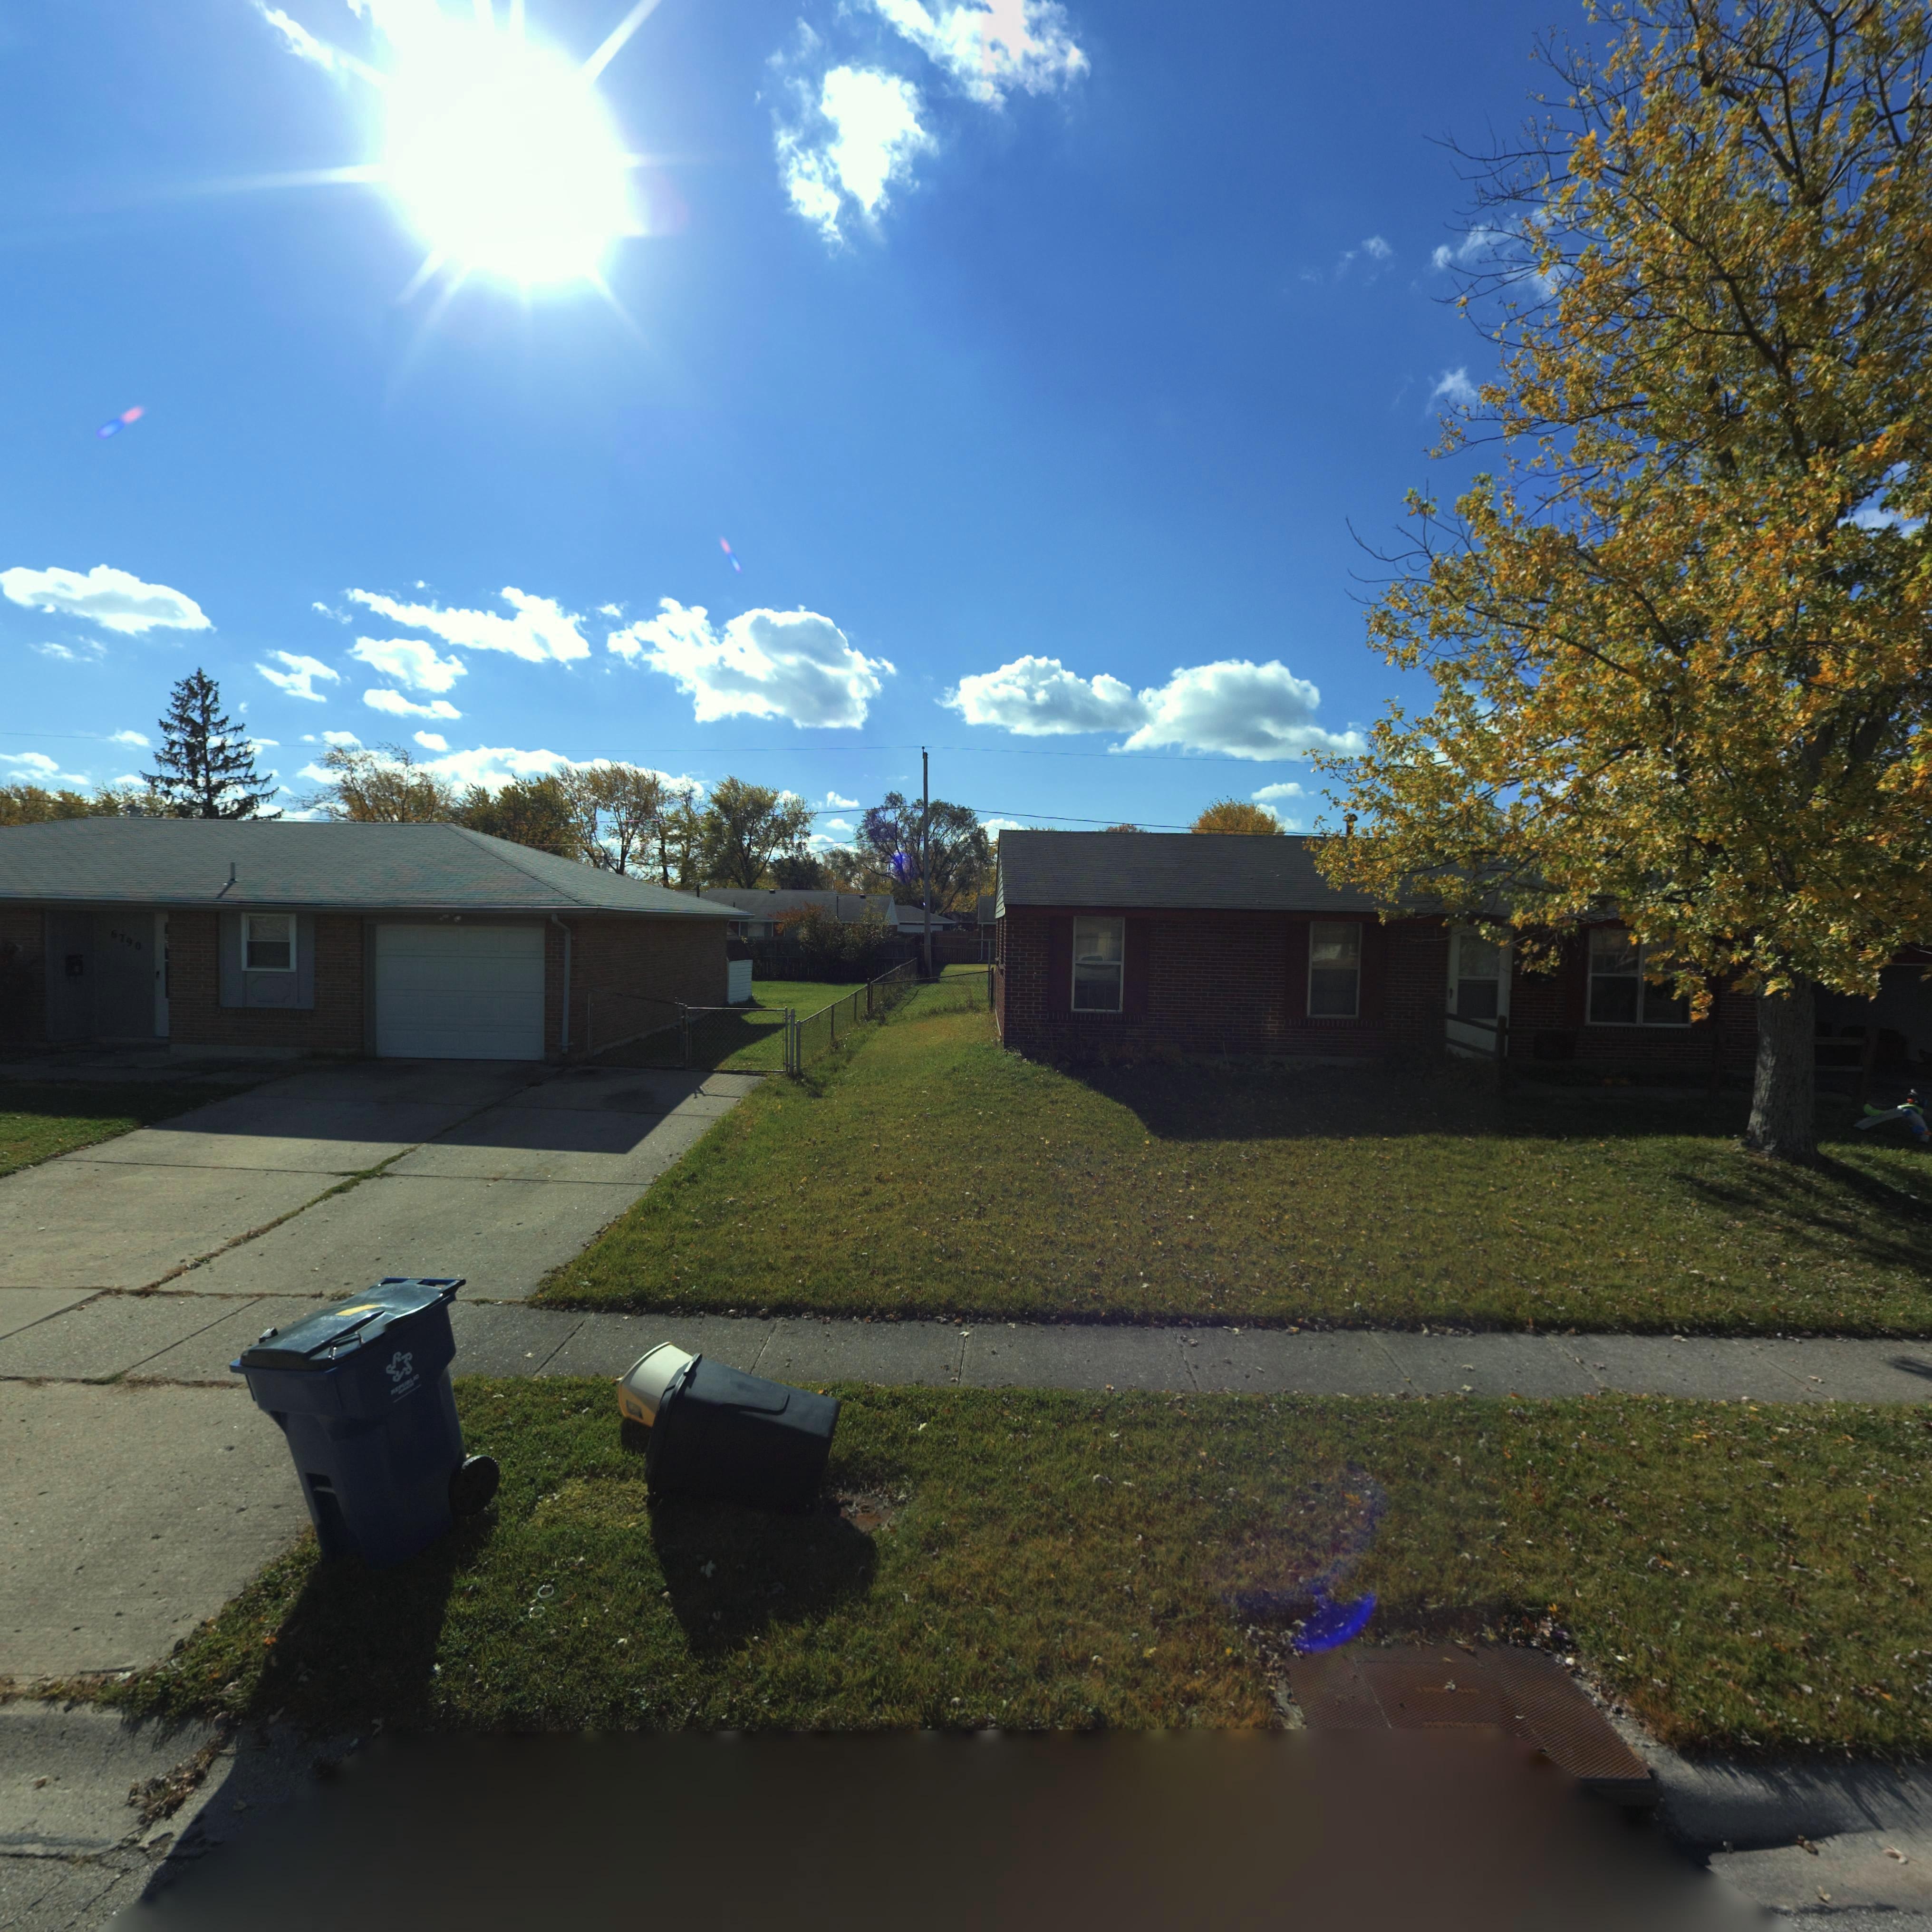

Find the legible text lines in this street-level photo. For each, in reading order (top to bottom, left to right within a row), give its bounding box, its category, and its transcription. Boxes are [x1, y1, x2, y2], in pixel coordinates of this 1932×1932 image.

[110, 928, 143, 952] StreetNumber: 6790